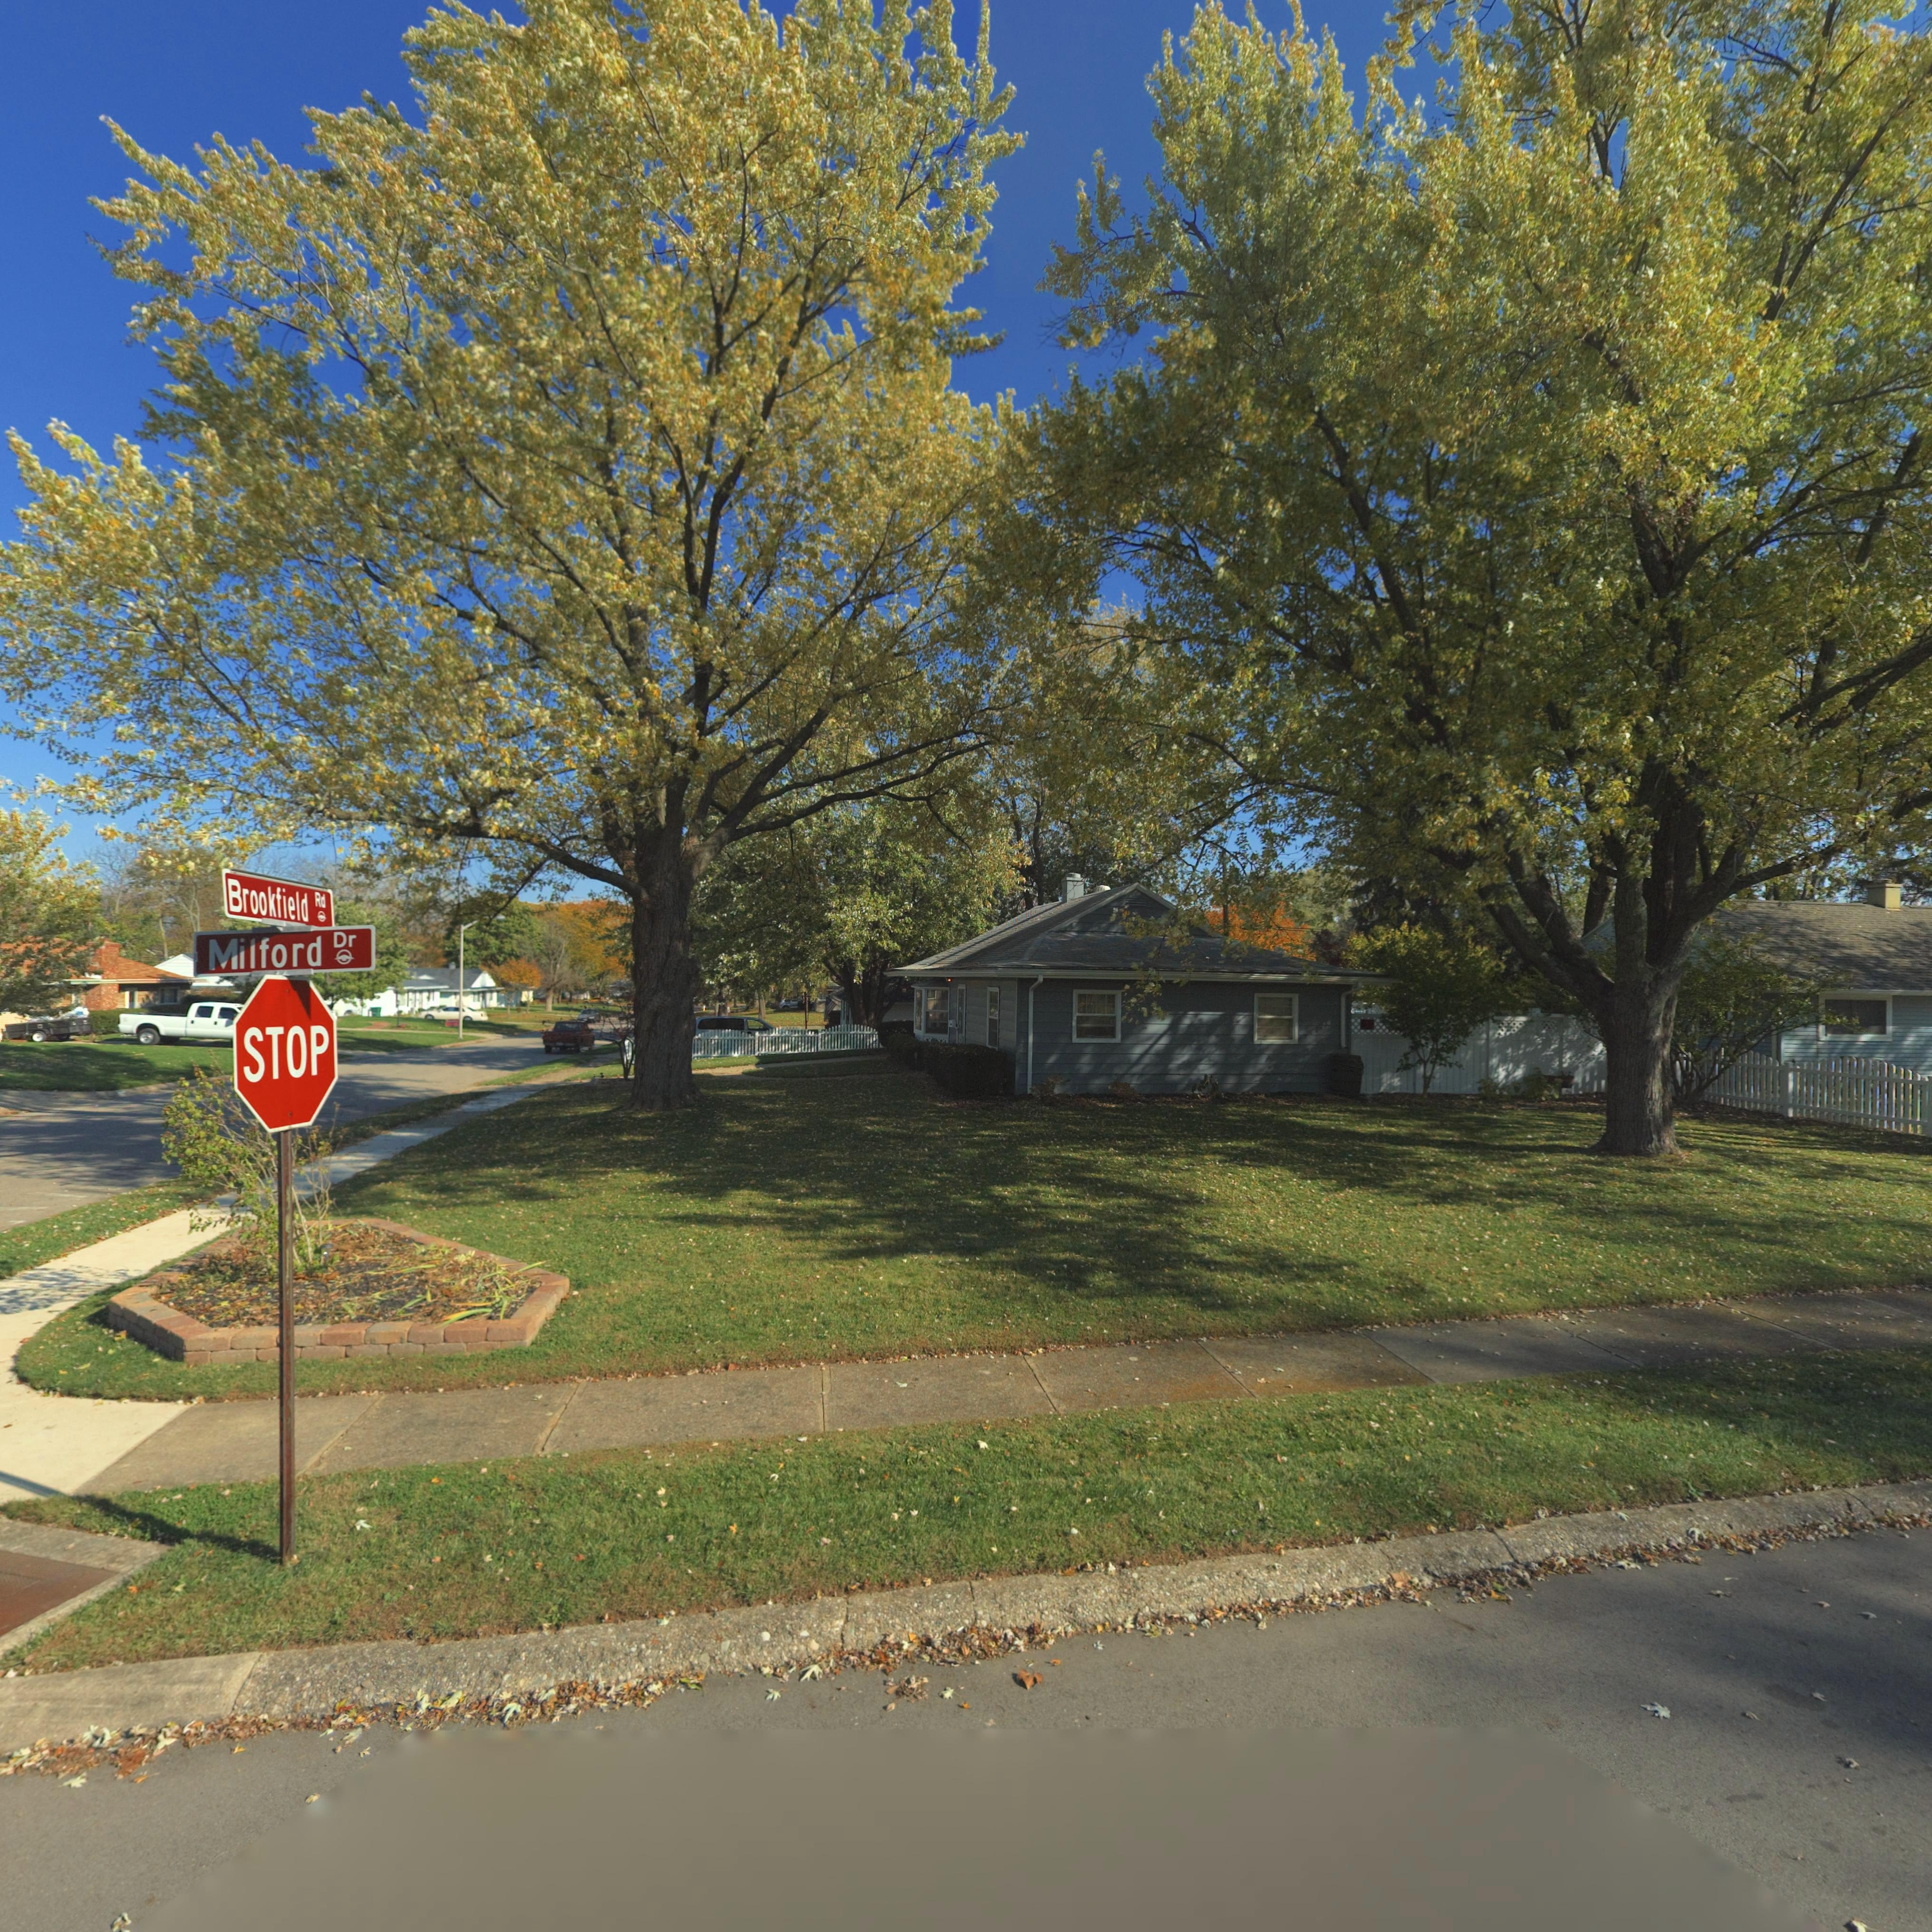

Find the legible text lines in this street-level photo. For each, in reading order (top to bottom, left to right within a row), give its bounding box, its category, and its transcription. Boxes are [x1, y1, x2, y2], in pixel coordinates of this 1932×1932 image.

[226, 876, 327, 923] StreetName: Brookfield Rd
[208, 930, 357, 972] StreetName: Milford Dr
[242, 1024, 330, 1085] None: STOP